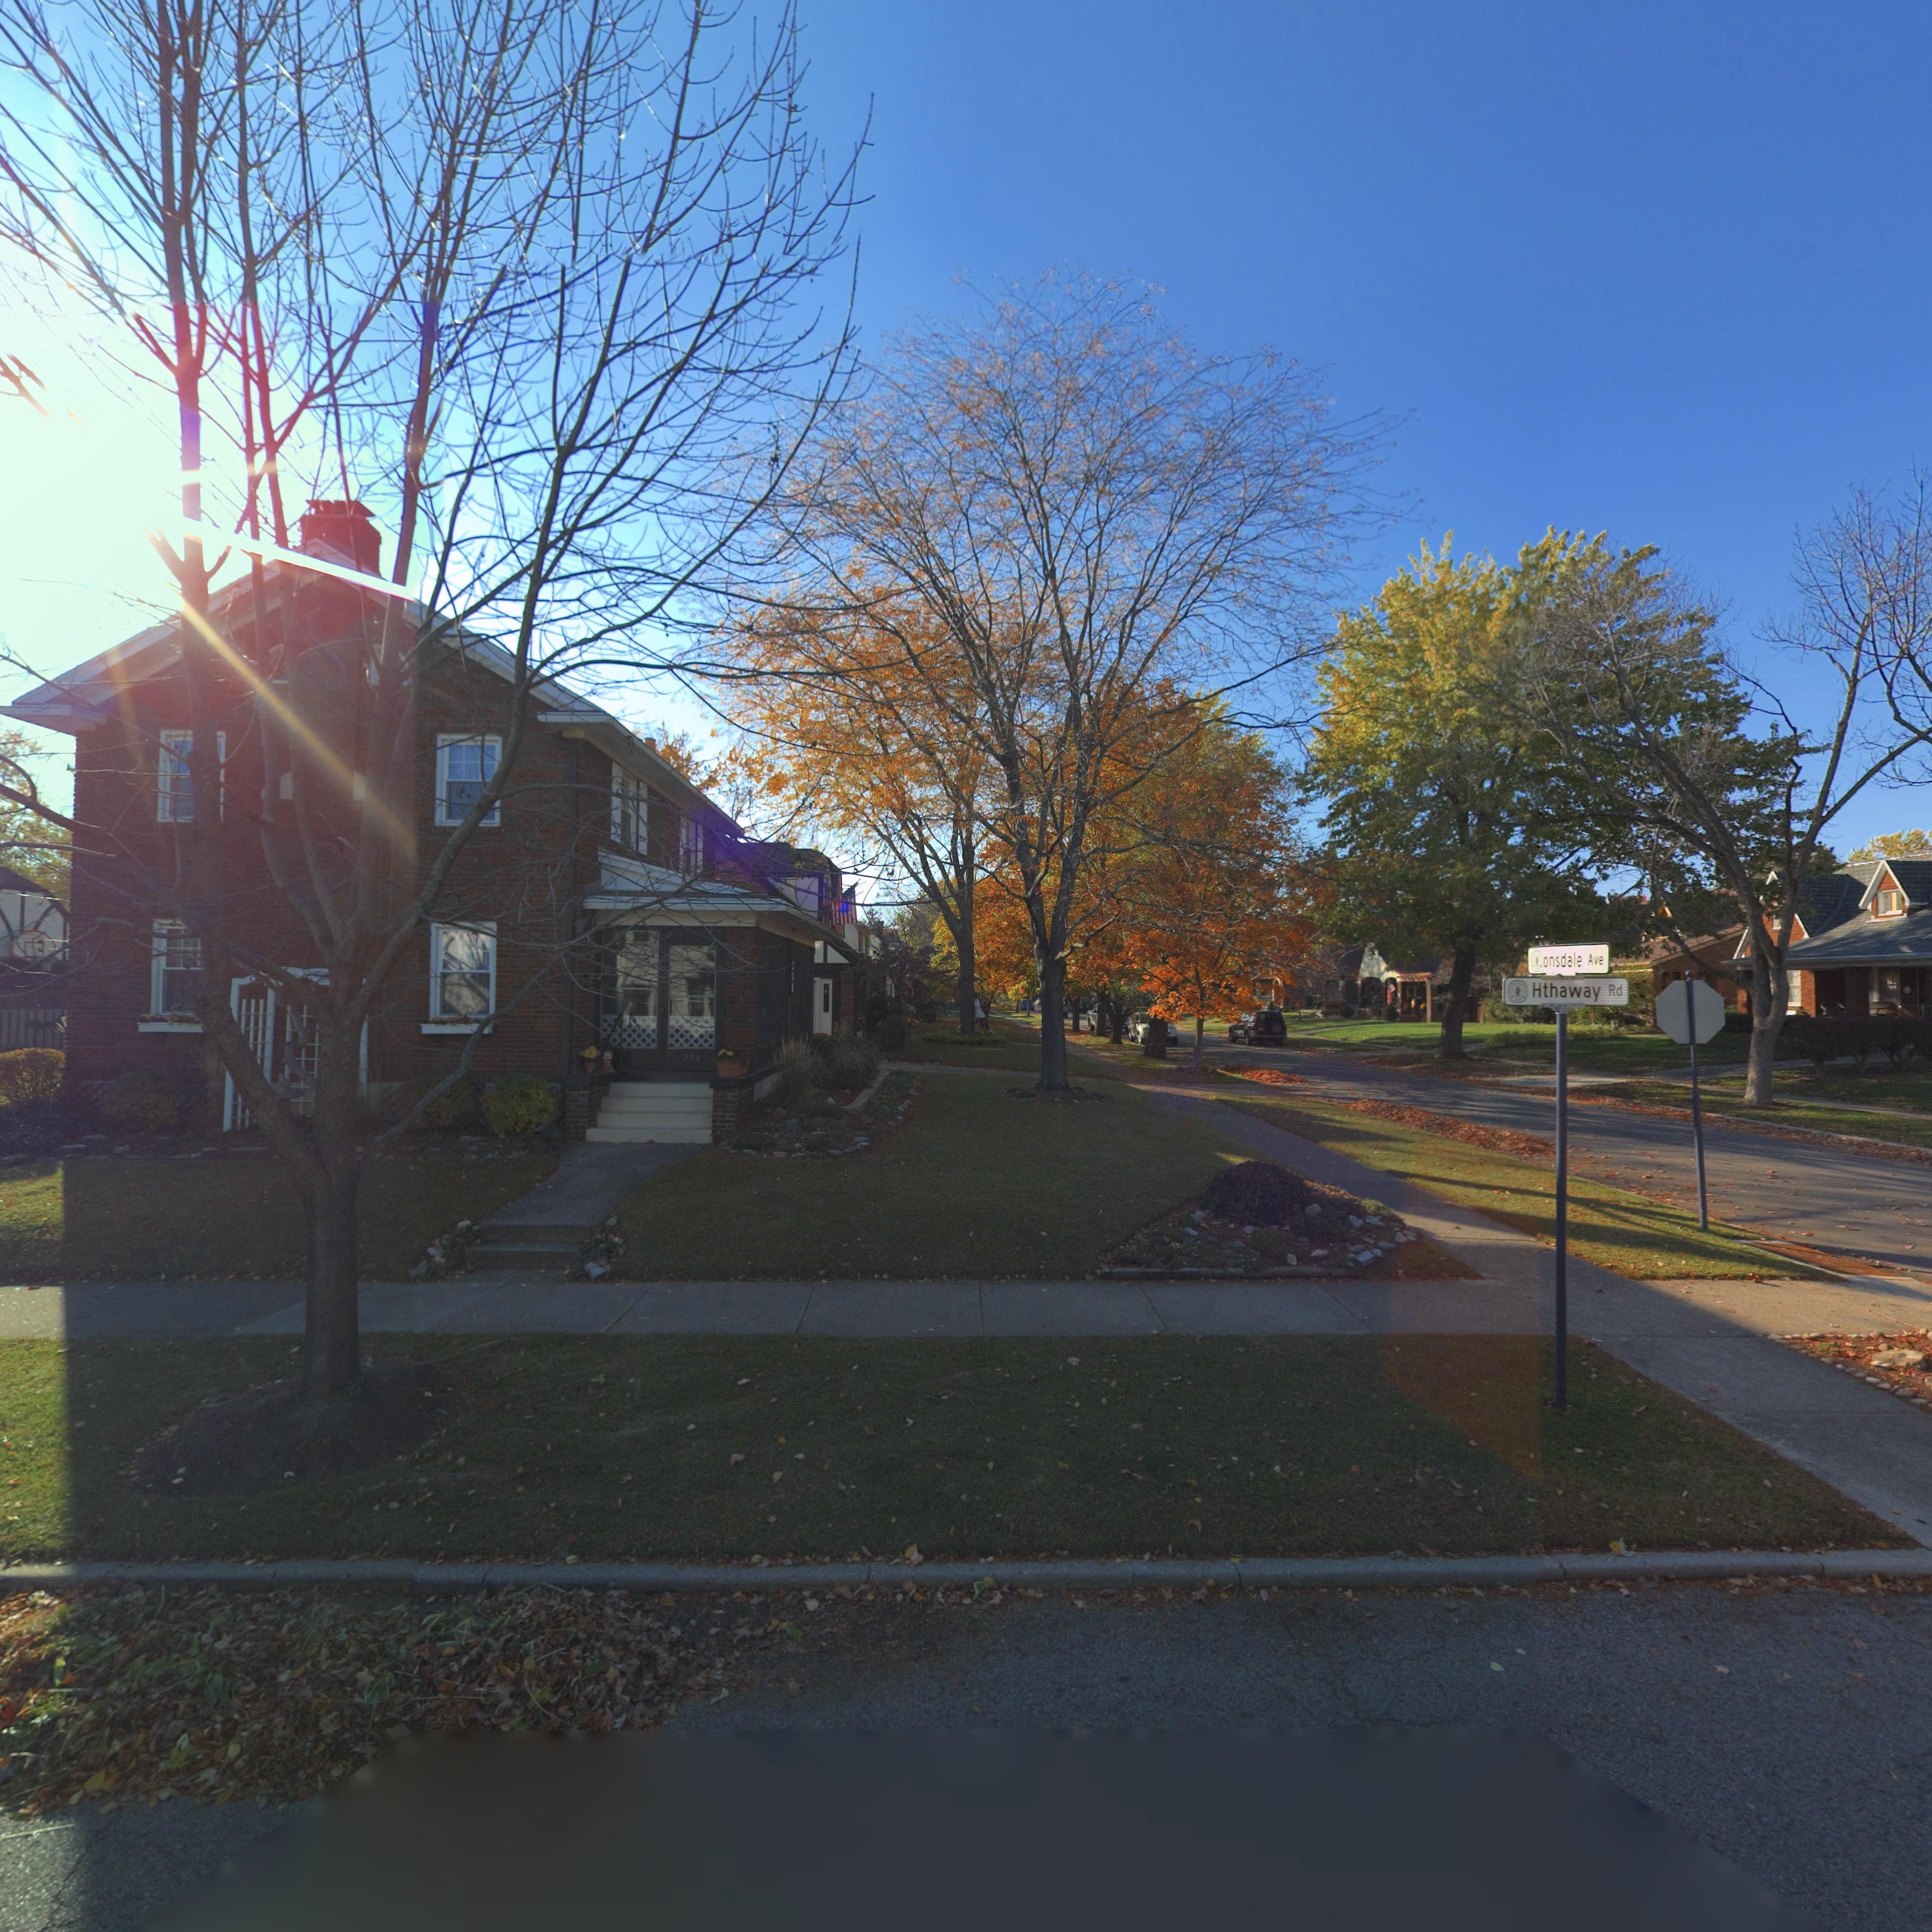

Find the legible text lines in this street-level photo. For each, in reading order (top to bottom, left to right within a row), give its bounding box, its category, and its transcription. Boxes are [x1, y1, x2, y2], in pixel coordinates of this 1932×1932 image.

[1543, 952, 1604, 968] StreetName: onsdale Ave
[1532, 981, 1623, 1003] StreetName: Hthaway Rd
[683, 1053, 701, 1062] StreetNumber: 254